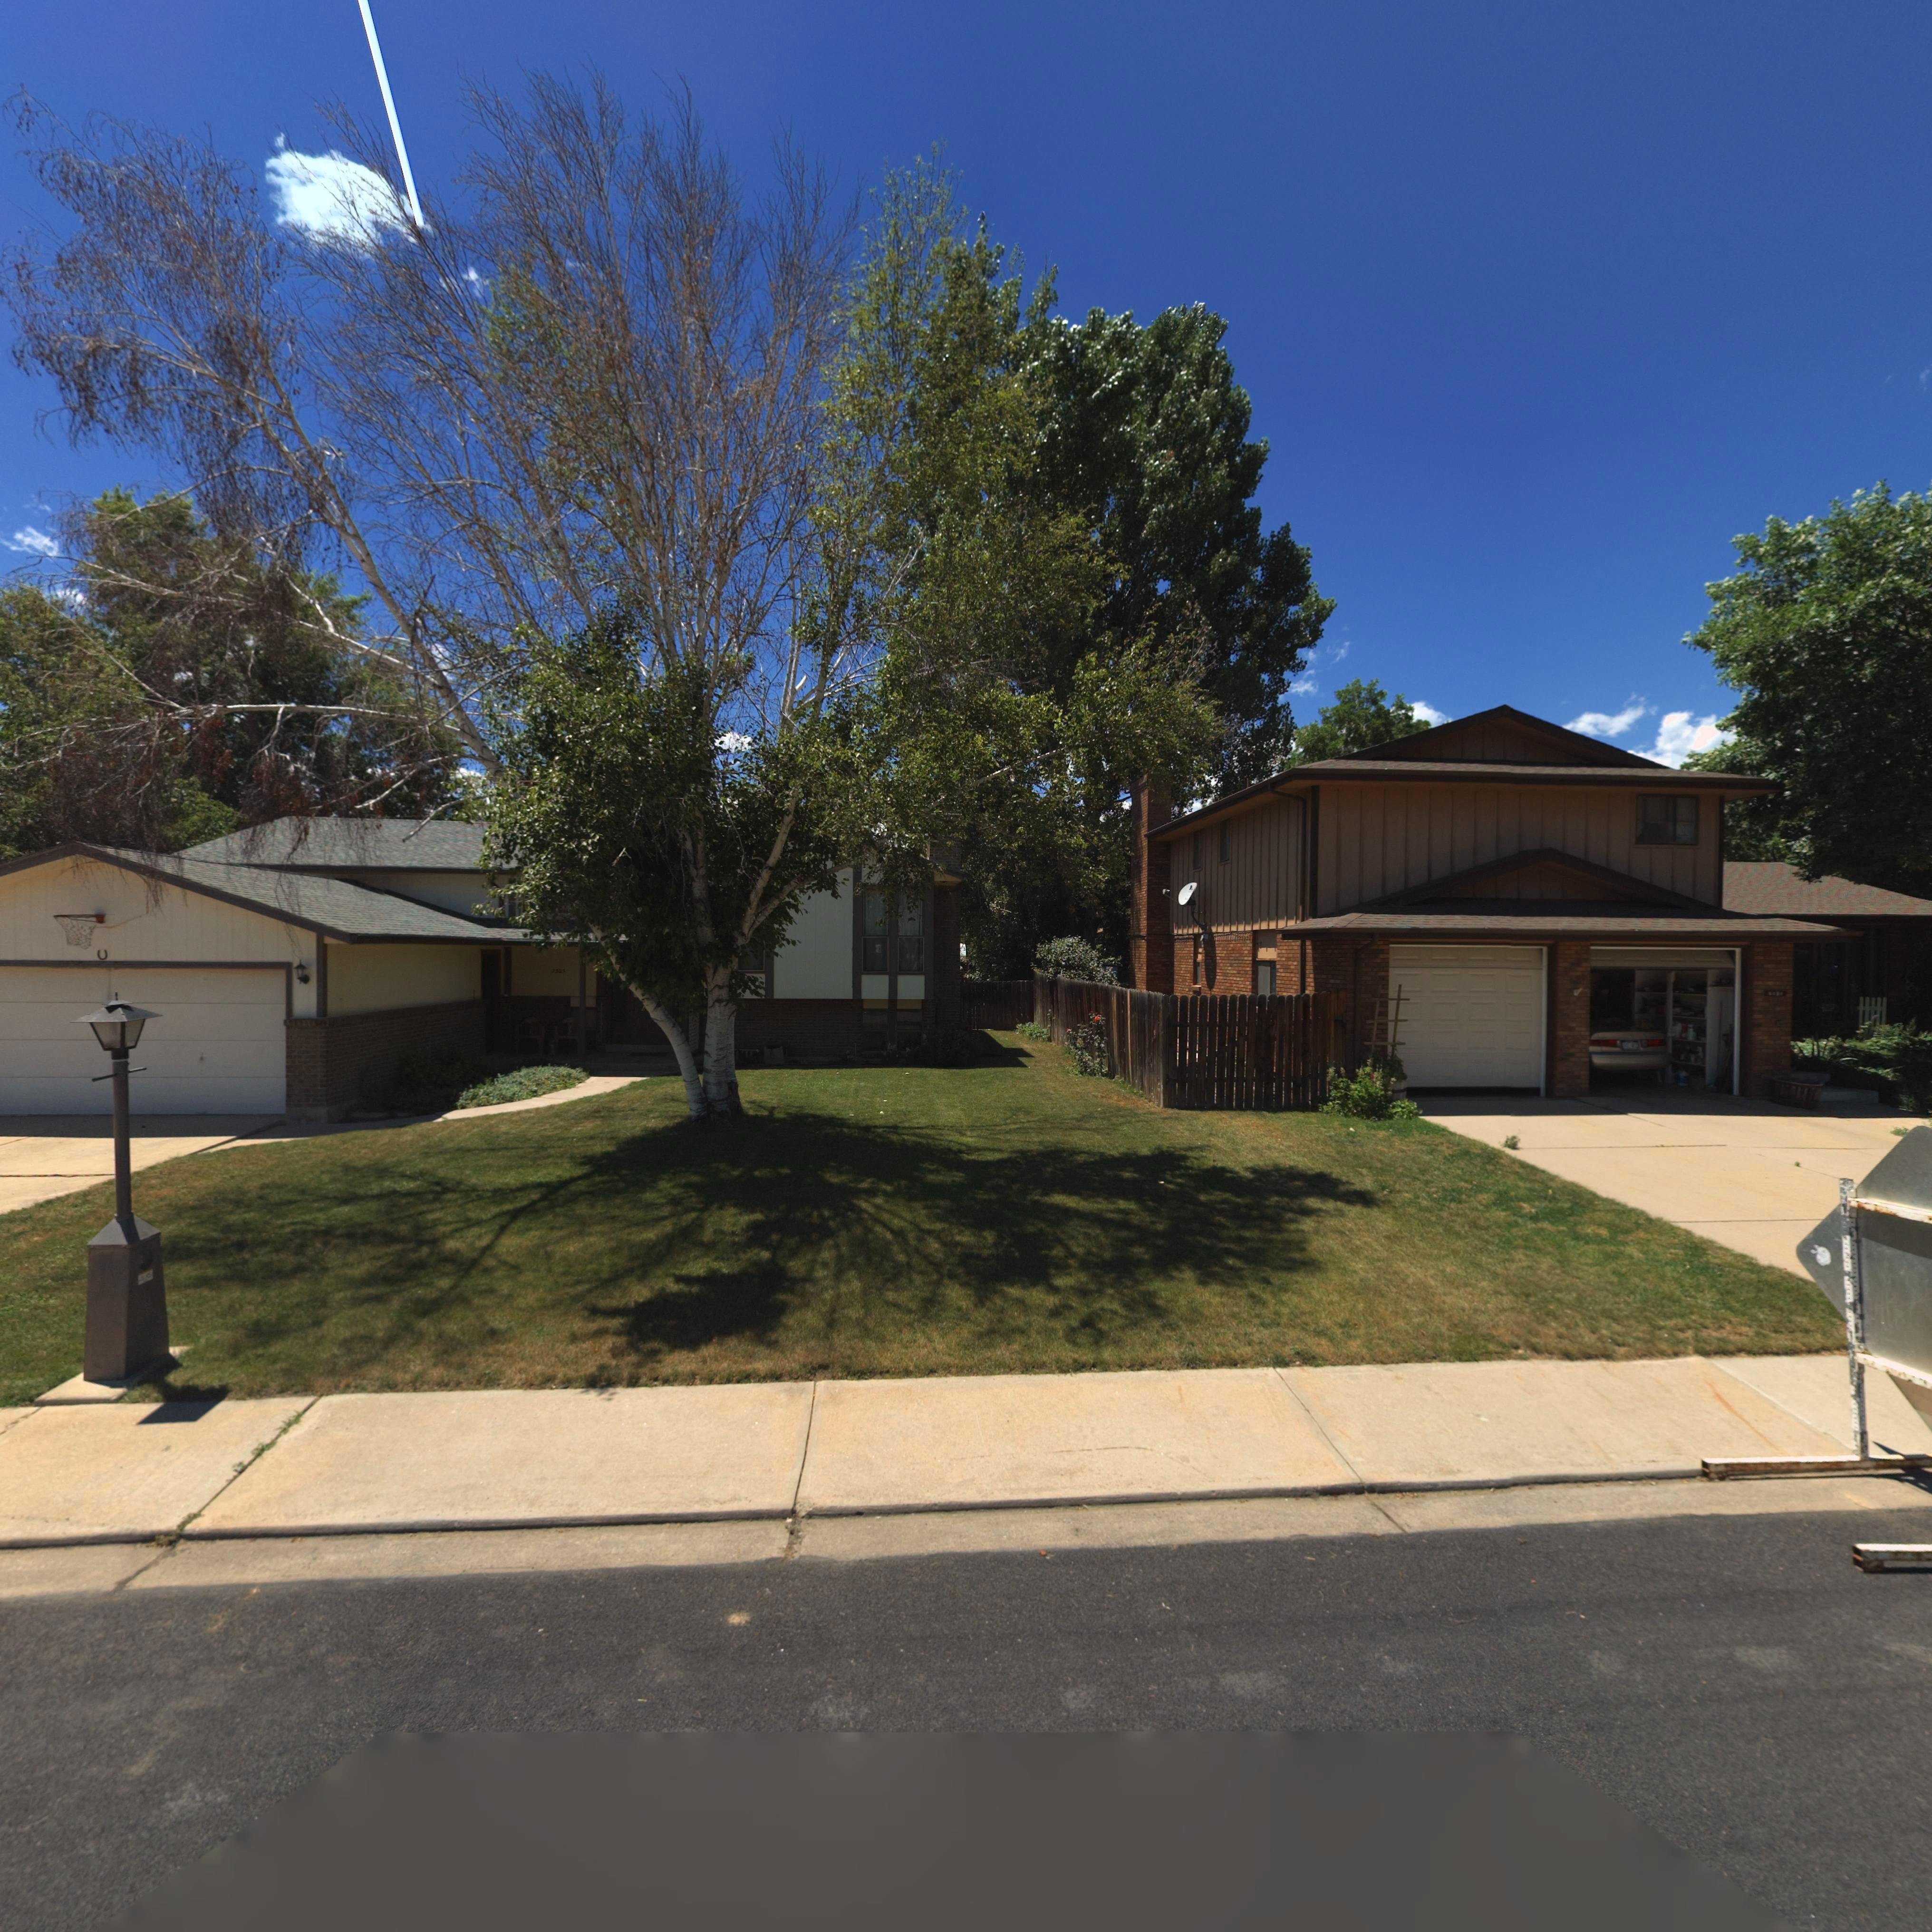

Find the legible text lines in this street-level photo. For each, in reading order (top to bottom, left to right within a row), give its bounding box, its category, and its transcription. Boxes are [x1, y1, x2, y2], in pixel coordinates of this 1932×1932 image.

[551, 968, 566, 974] StreetNumber: 2305